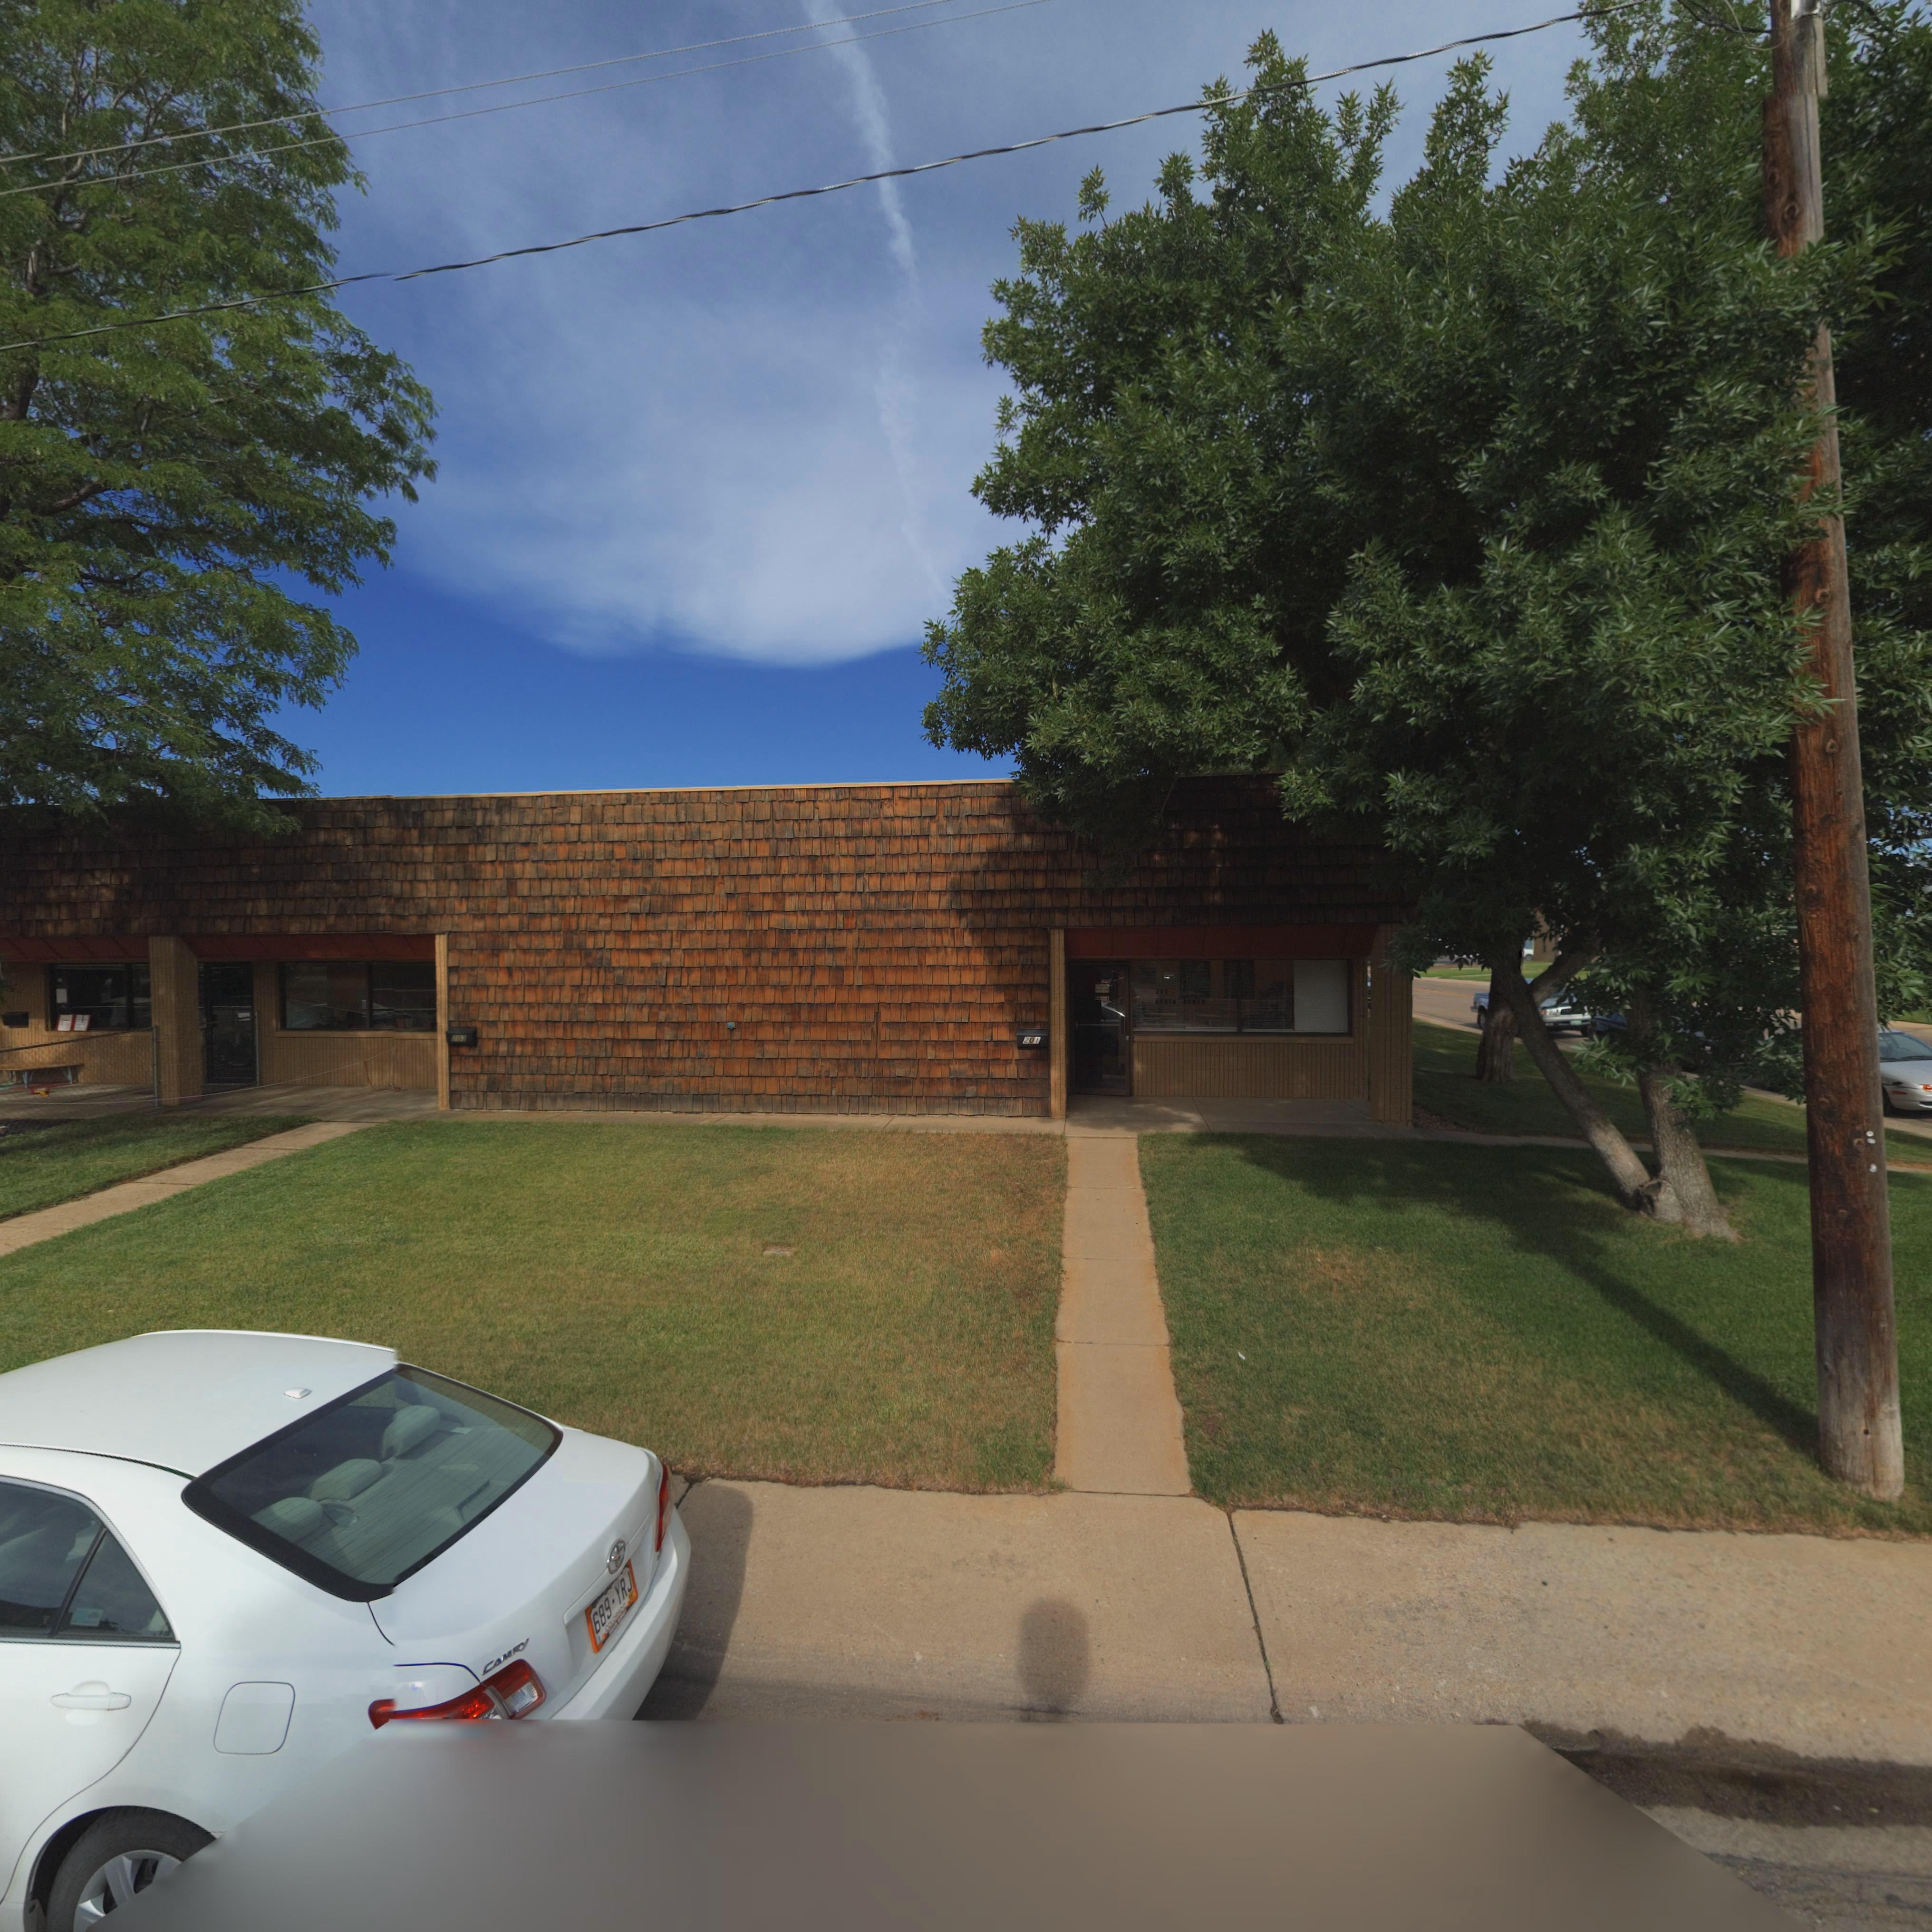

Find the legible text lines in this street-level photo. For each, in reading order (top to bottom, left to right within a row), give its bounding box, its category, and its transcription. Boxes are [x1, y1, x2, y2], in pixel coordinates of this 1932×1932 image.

[1155, 988, 1168, 995] StreetNumber: 201
[451, 1034, 466, 1043] StreetNumber: 203
[1023, 1037, 1039, 1043] StreetNumber: 201